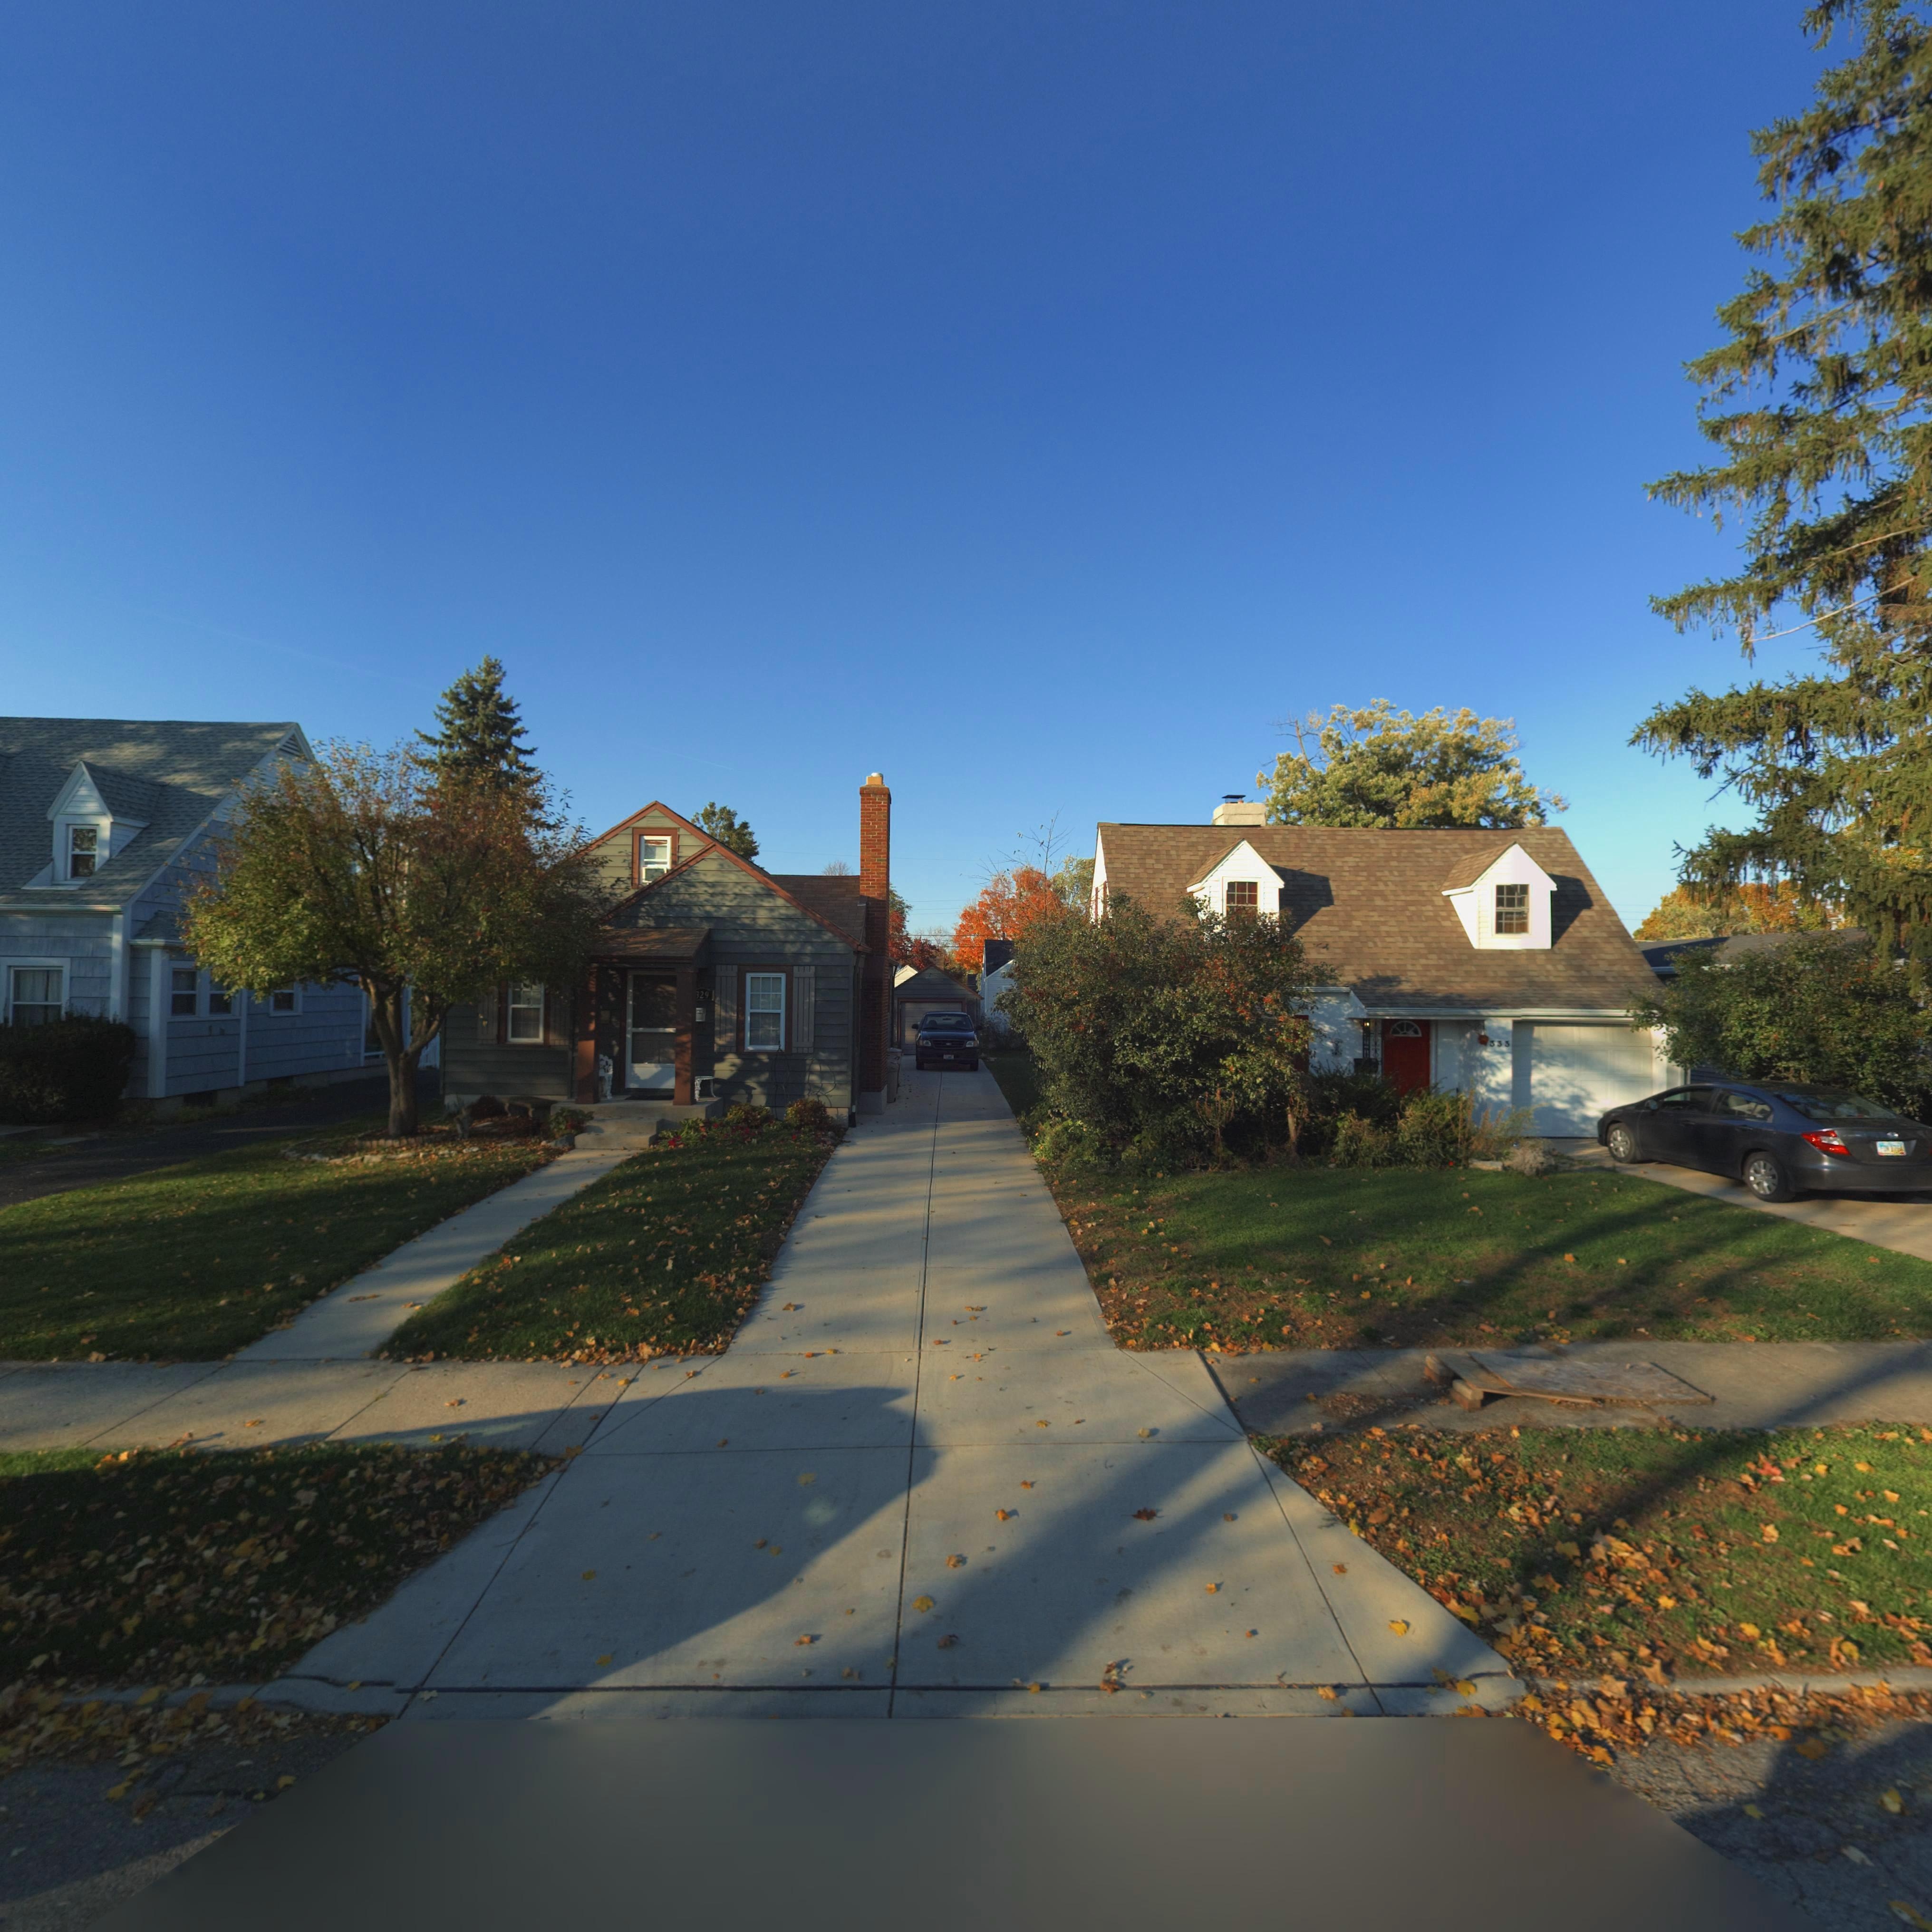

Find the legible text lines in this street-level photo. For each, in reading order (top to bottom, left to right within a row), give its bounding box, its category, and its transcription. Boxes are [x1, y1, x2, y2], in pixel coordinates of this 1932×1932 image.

[699, 990, 710, 999] StreetNumber: 29
[1489, 1040, 1511, 1048] StreetNumber: 333